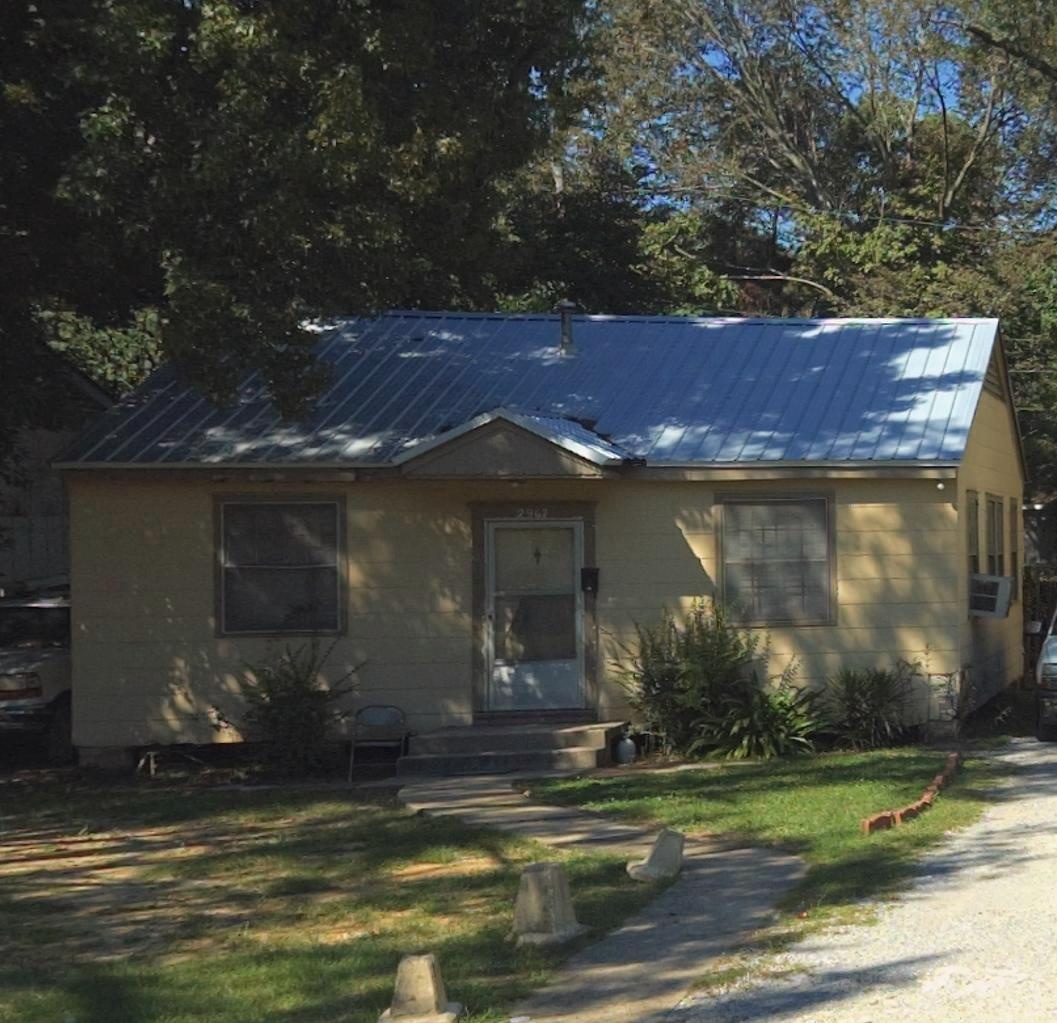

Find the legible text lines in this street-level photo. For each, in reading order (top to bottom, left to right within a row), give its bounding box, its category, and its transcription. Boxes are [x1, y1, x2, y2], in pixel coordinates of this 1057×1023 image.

[515, 507, 549, 519] StreetNumber: 2967